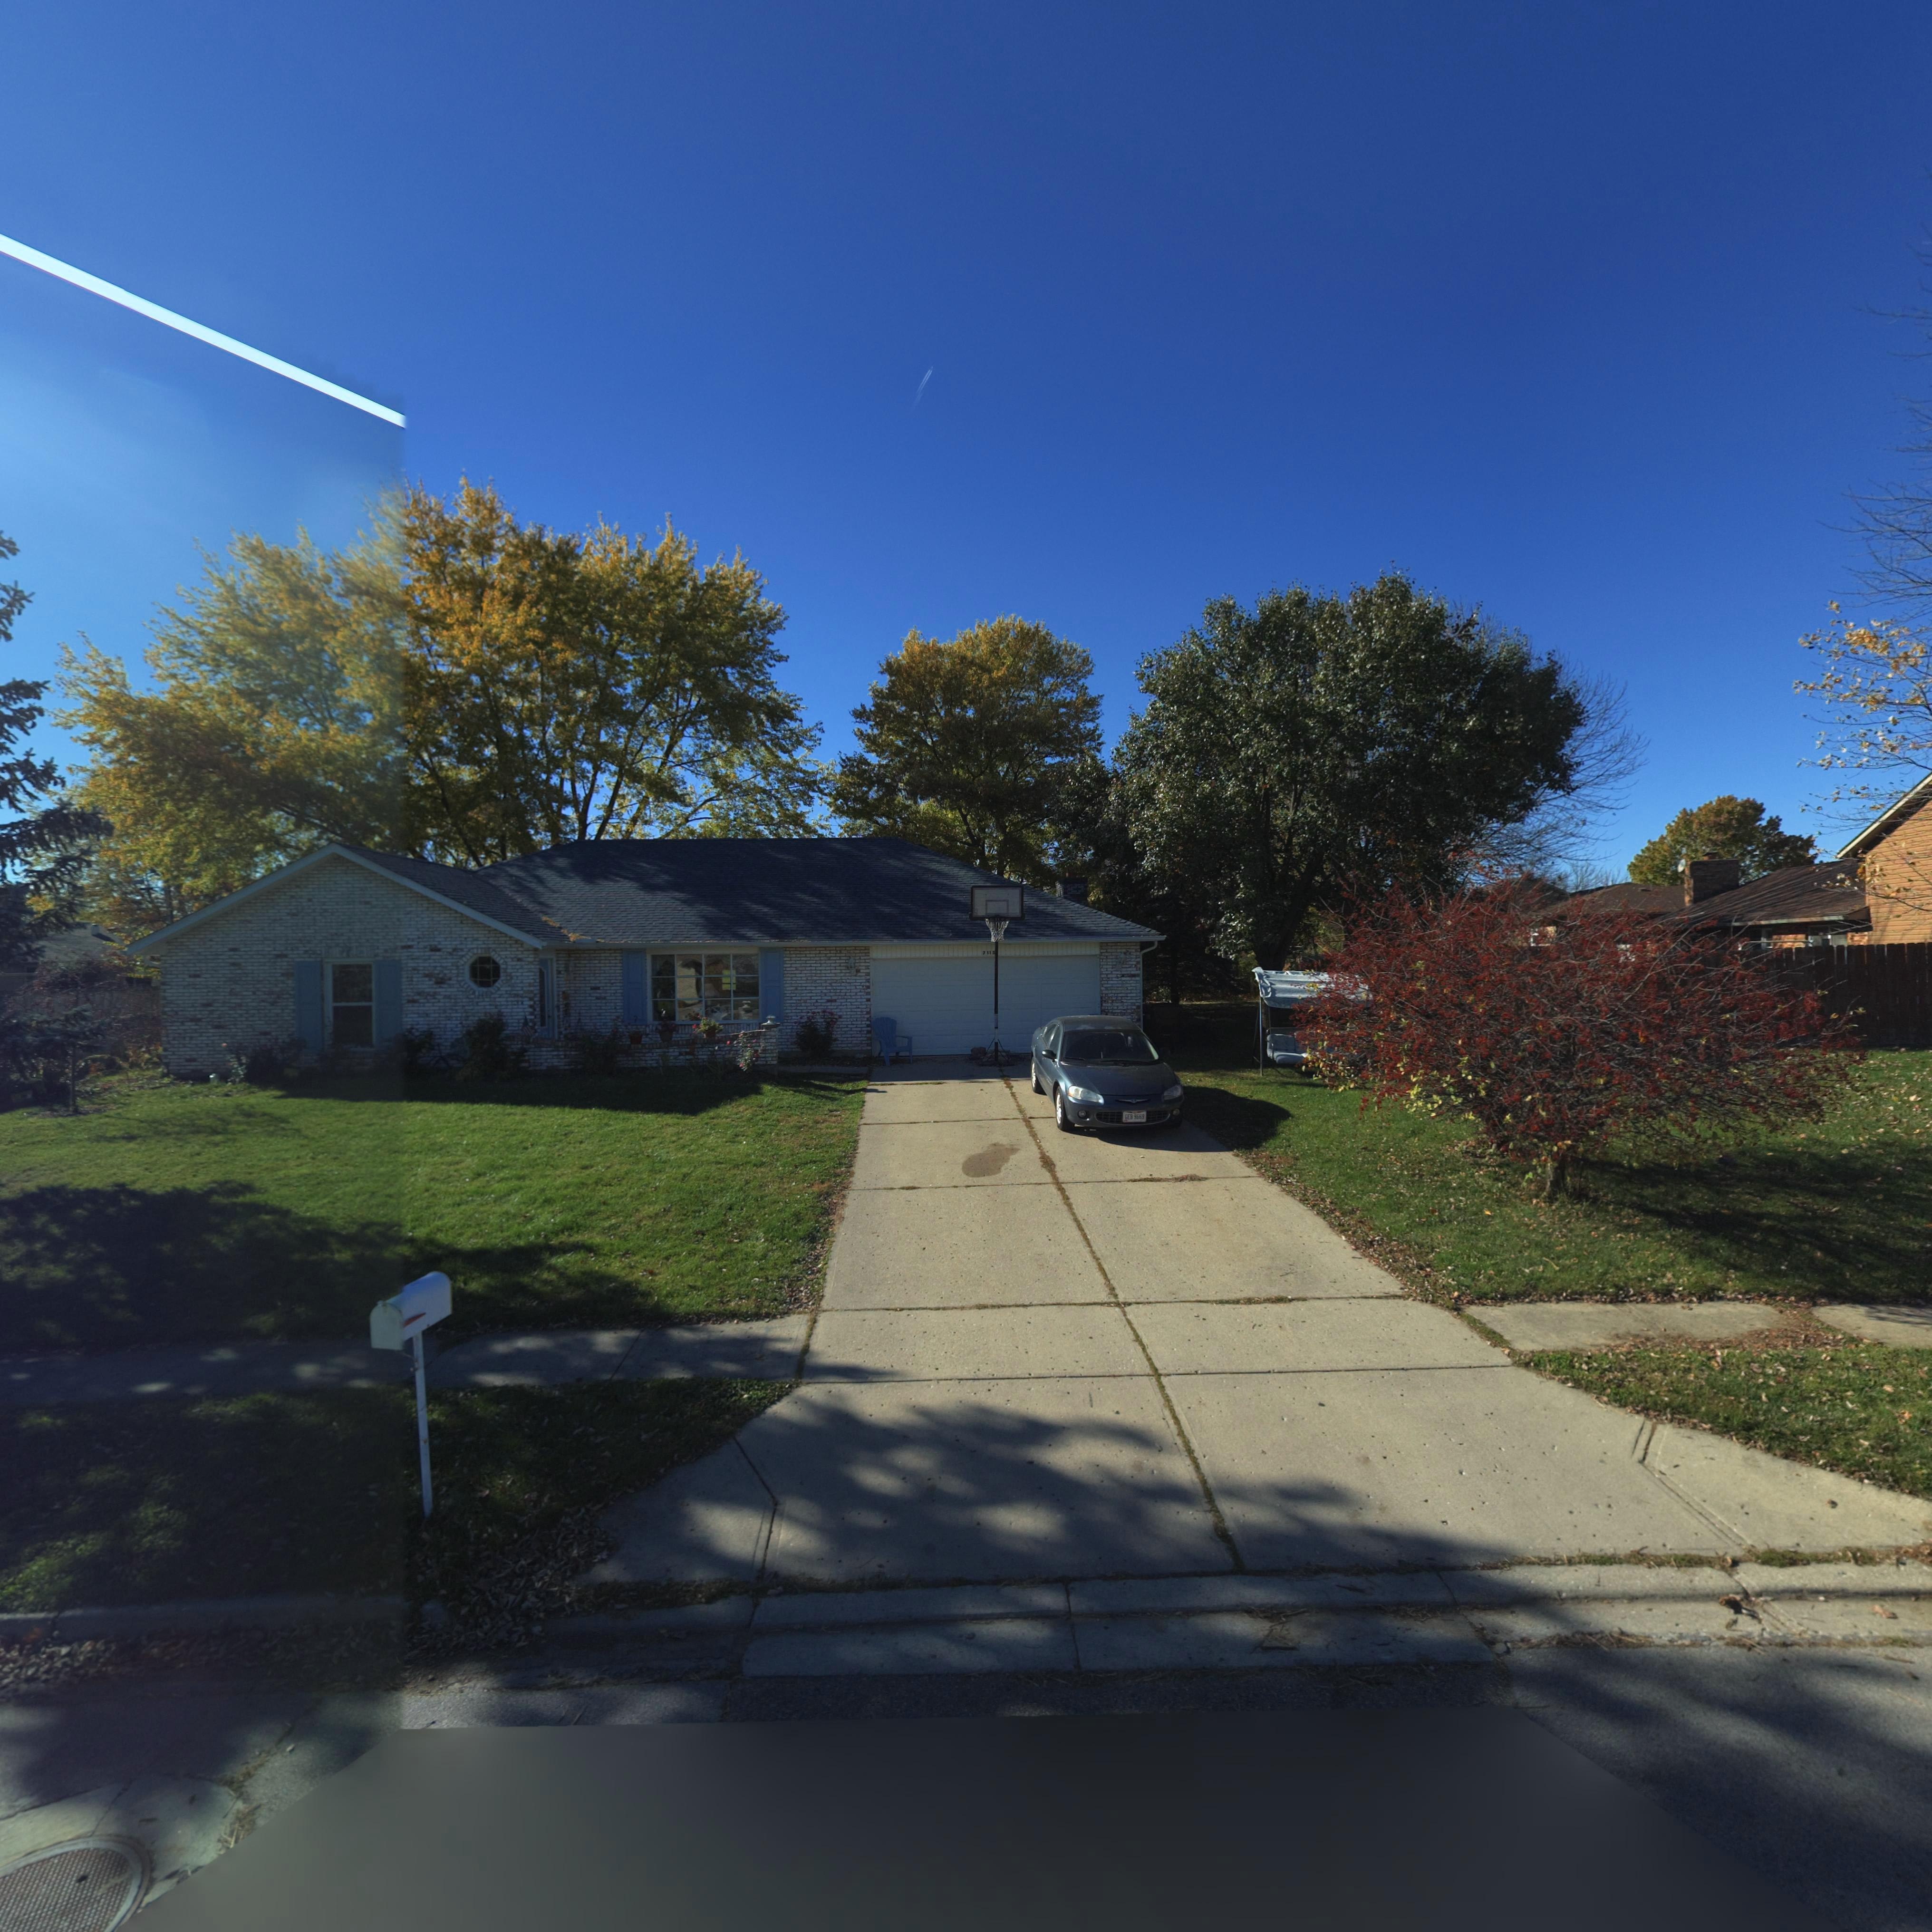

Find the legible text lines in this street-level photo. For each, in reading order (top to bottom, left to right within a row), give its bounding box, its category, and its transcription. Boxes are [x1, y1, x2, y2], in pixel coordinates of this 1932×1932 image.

[981, 950, 995, 956] StreetNumber: *11*
[1124, 1113, 1145, 1120] None: GEB*9669